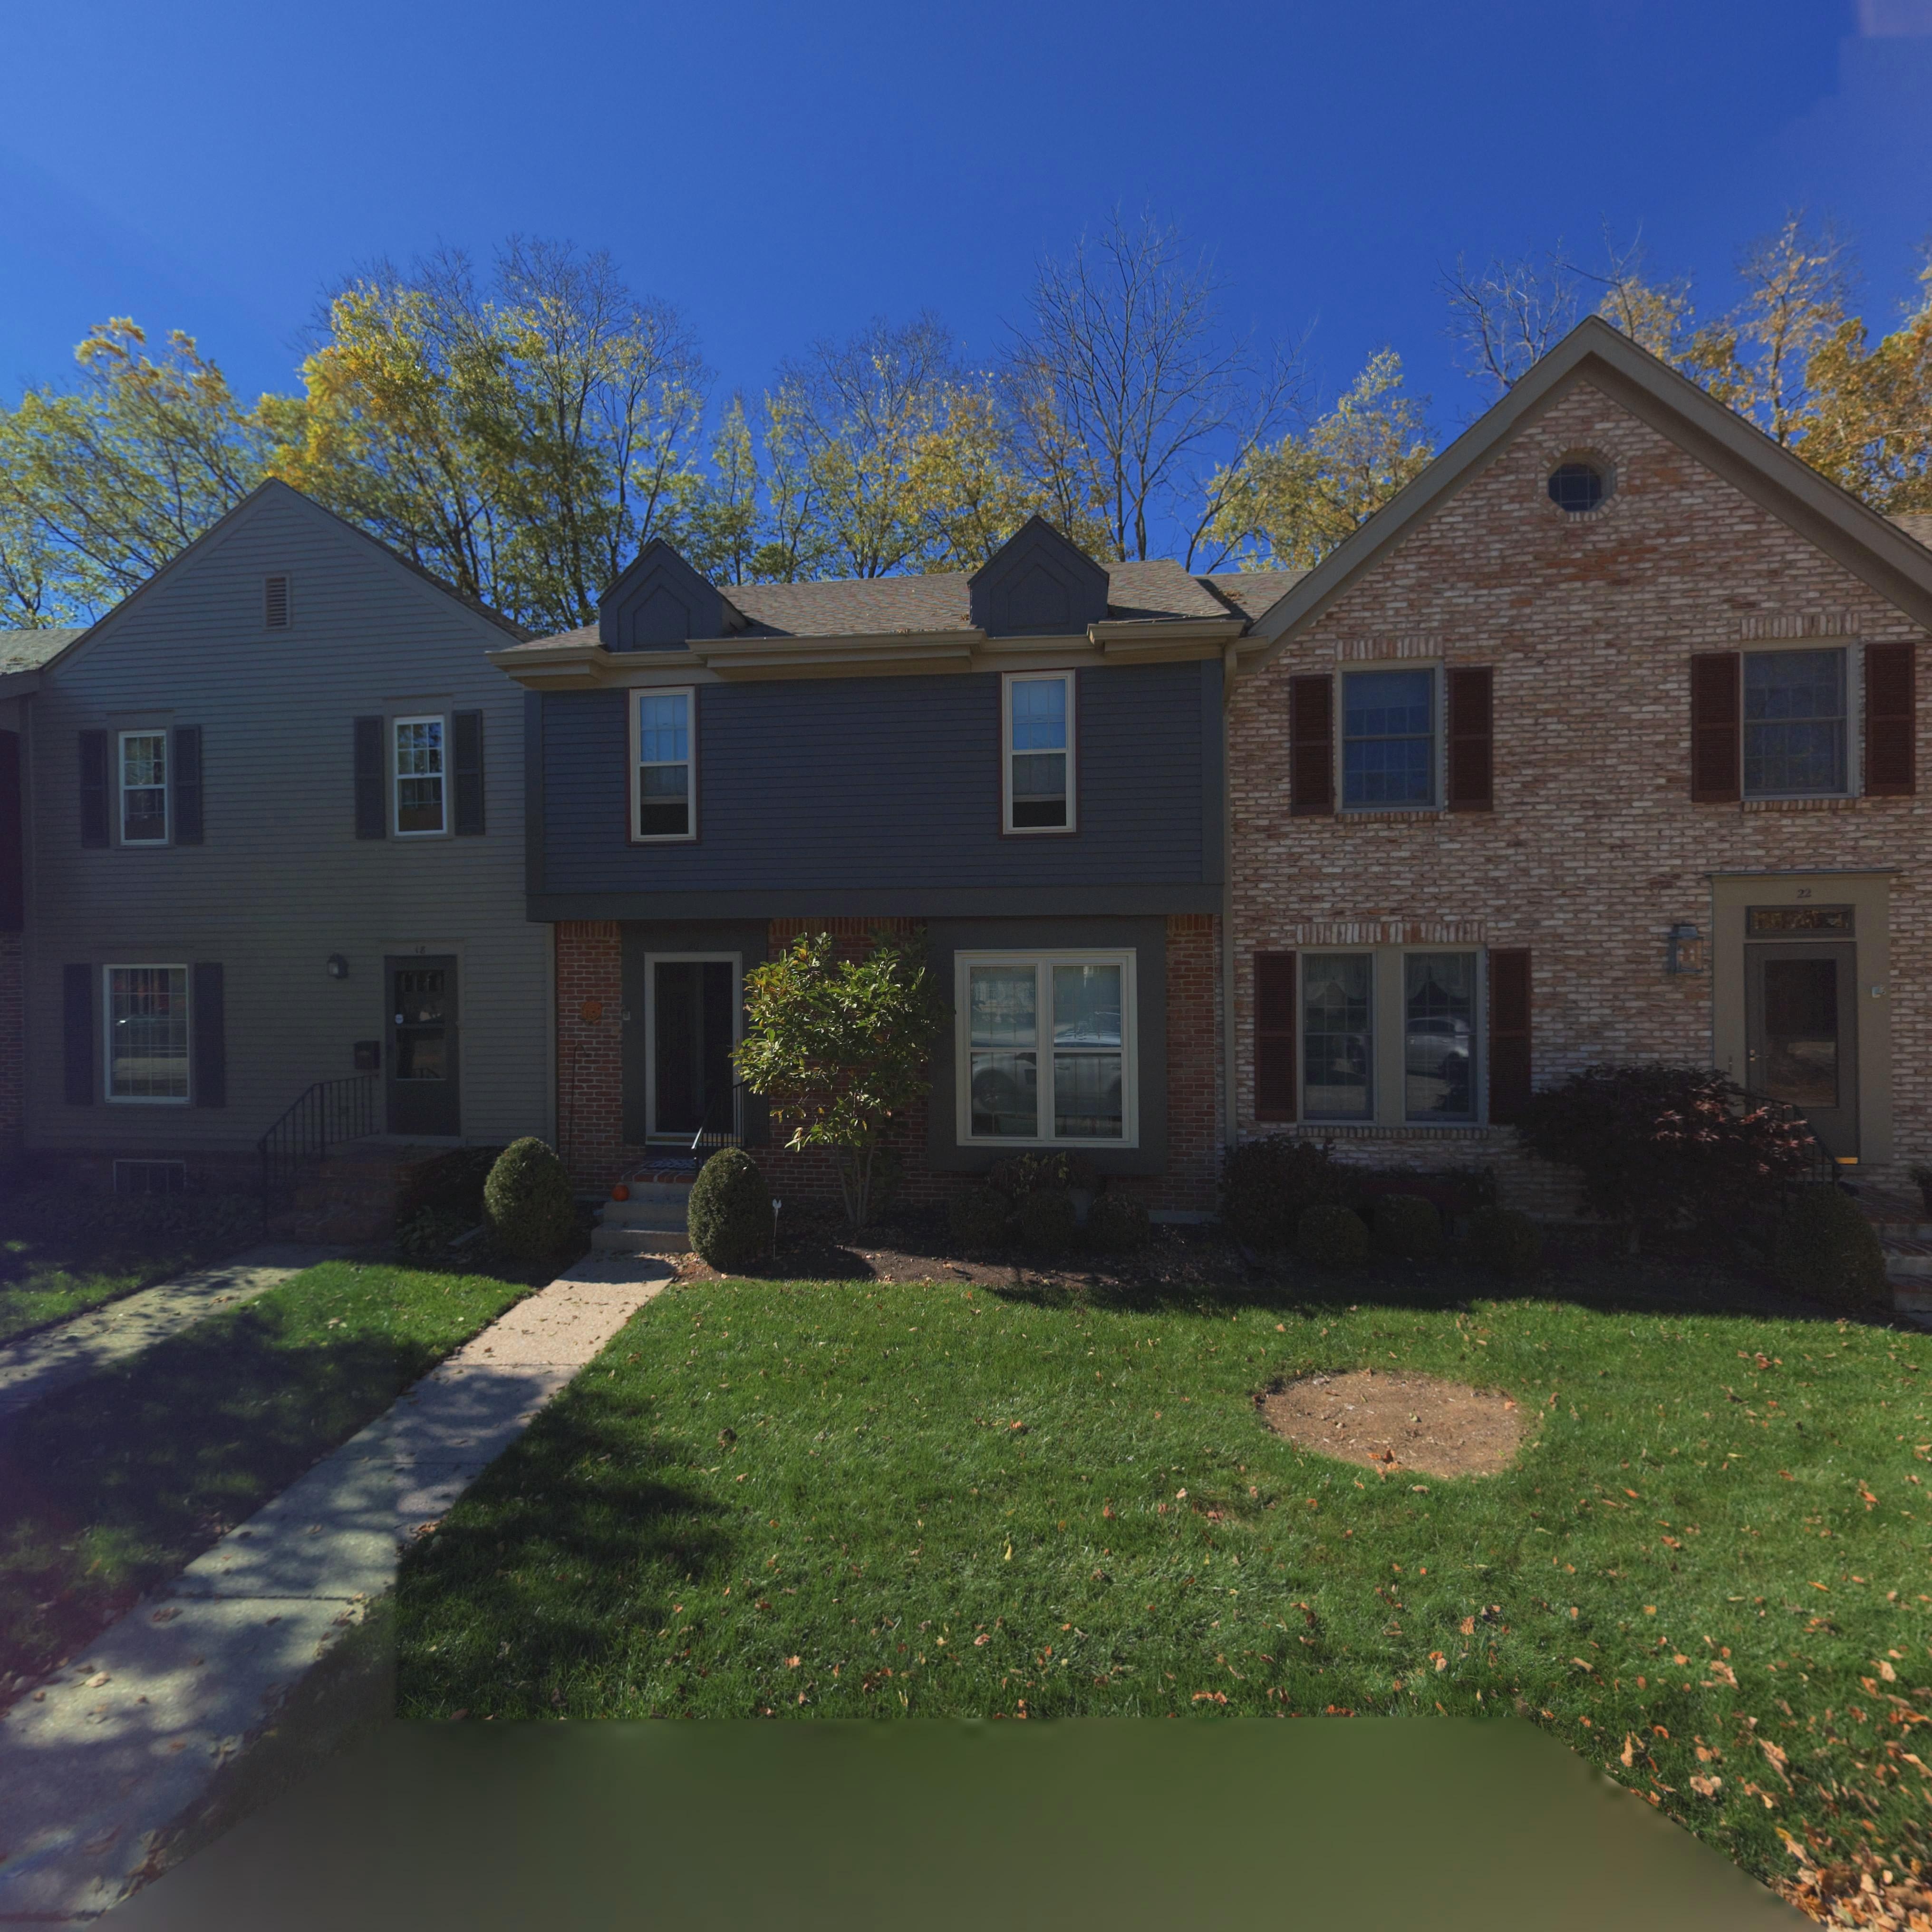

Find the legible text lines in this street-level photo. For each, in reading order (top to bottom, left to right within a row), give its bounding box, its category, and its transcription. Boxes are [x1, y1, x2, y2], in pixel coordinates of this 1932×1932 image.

[1796, 886, 1813, 899] StreetNumber: 22
[415, 944, 427, 955] StreetNumber: 18
[686, 941, 700, 950] StreetNumber: 20